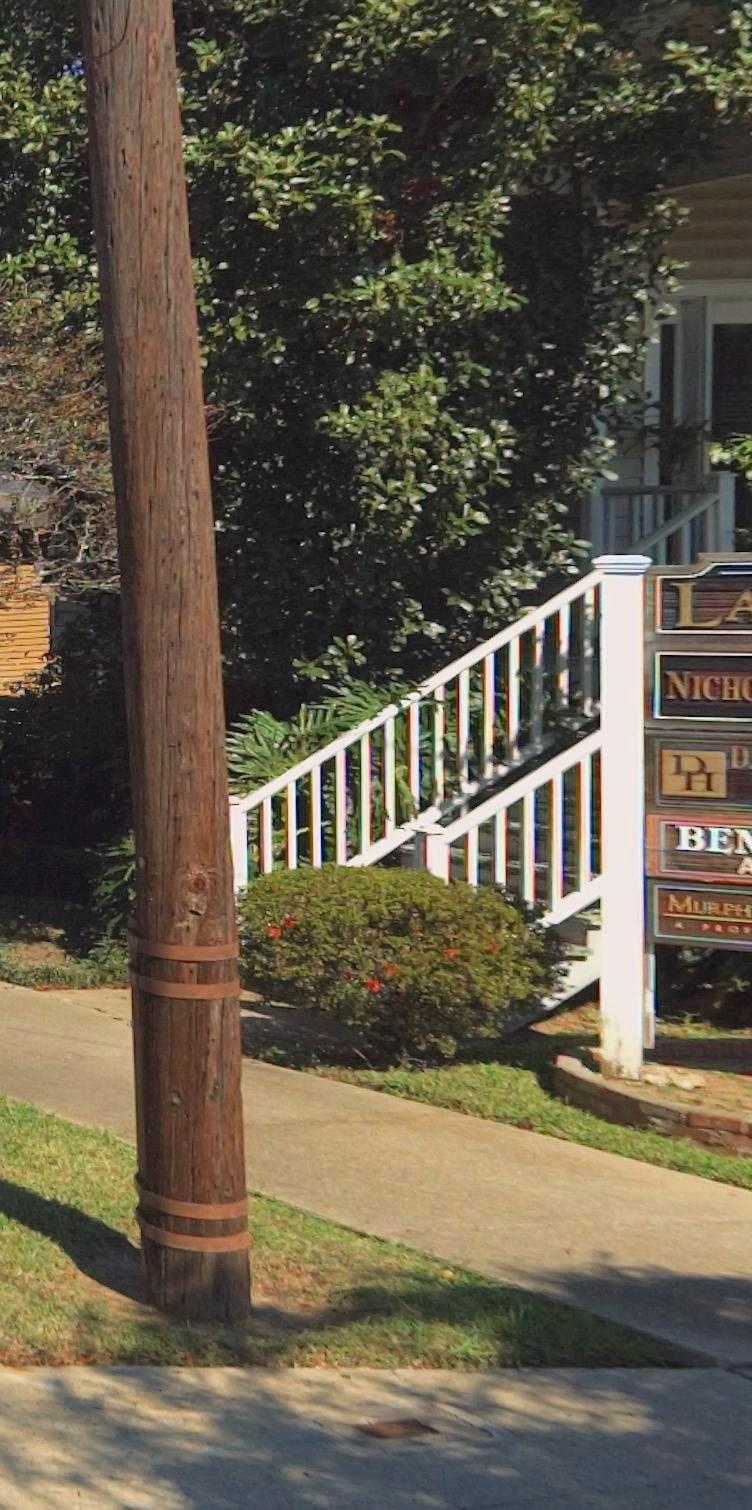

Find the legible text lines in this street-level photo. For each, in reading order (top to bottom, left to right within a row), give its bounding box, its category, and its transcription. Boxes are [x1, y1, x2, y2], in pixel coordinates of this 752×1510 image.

[666, 577, 730, 632] BusinessName: L
[662, 667, 744, 704] BusinessName: NICH
[669, 751, 709, 779] None: D
[728, 743, 751, 772] BusinessName: D
[681, 768, 717, 794] None: H
[672, 822, 735, 858] BusinessName: BE
[665, 891, 737, 920] BusinessName: MURP